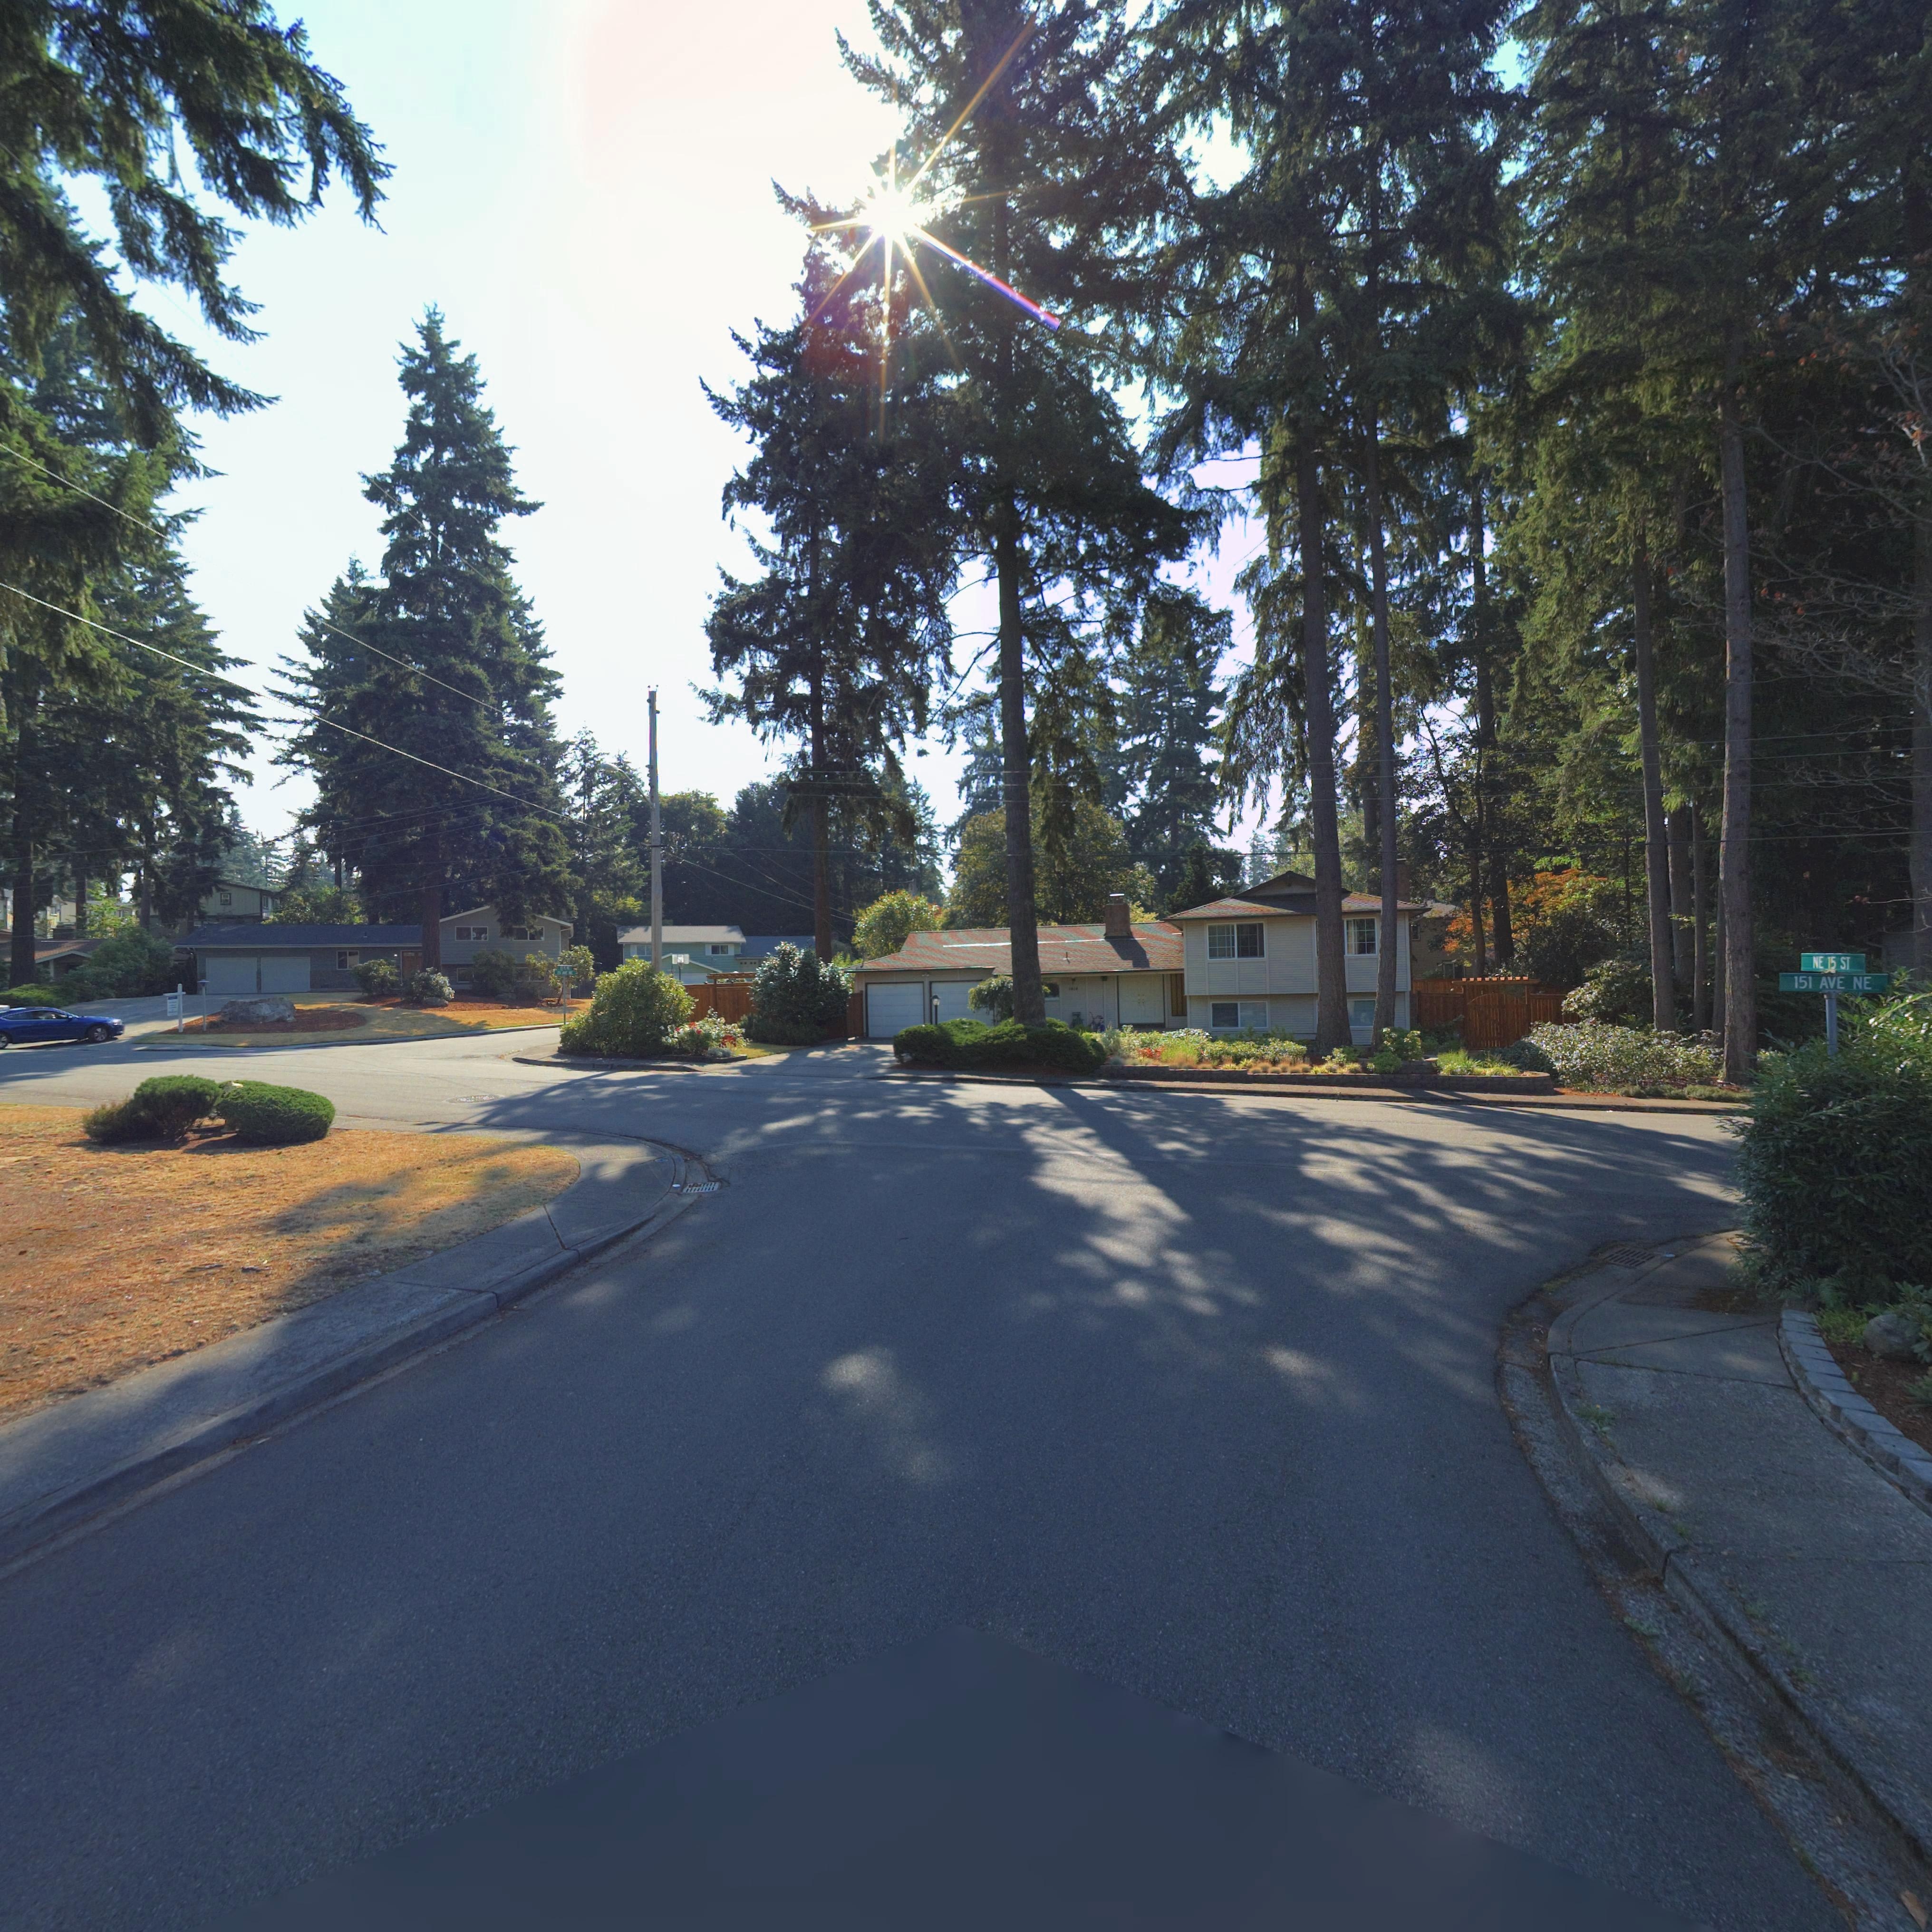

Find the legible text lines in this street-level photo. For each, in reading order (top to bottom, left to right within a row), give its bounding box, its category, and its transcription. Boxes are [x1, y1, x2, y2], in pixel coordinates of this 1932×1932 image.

[1812, 956, 1850, 969] StreetName: NE 15 ST
[1794, 975, 1871, 990] StreetName: 151 AVE NE